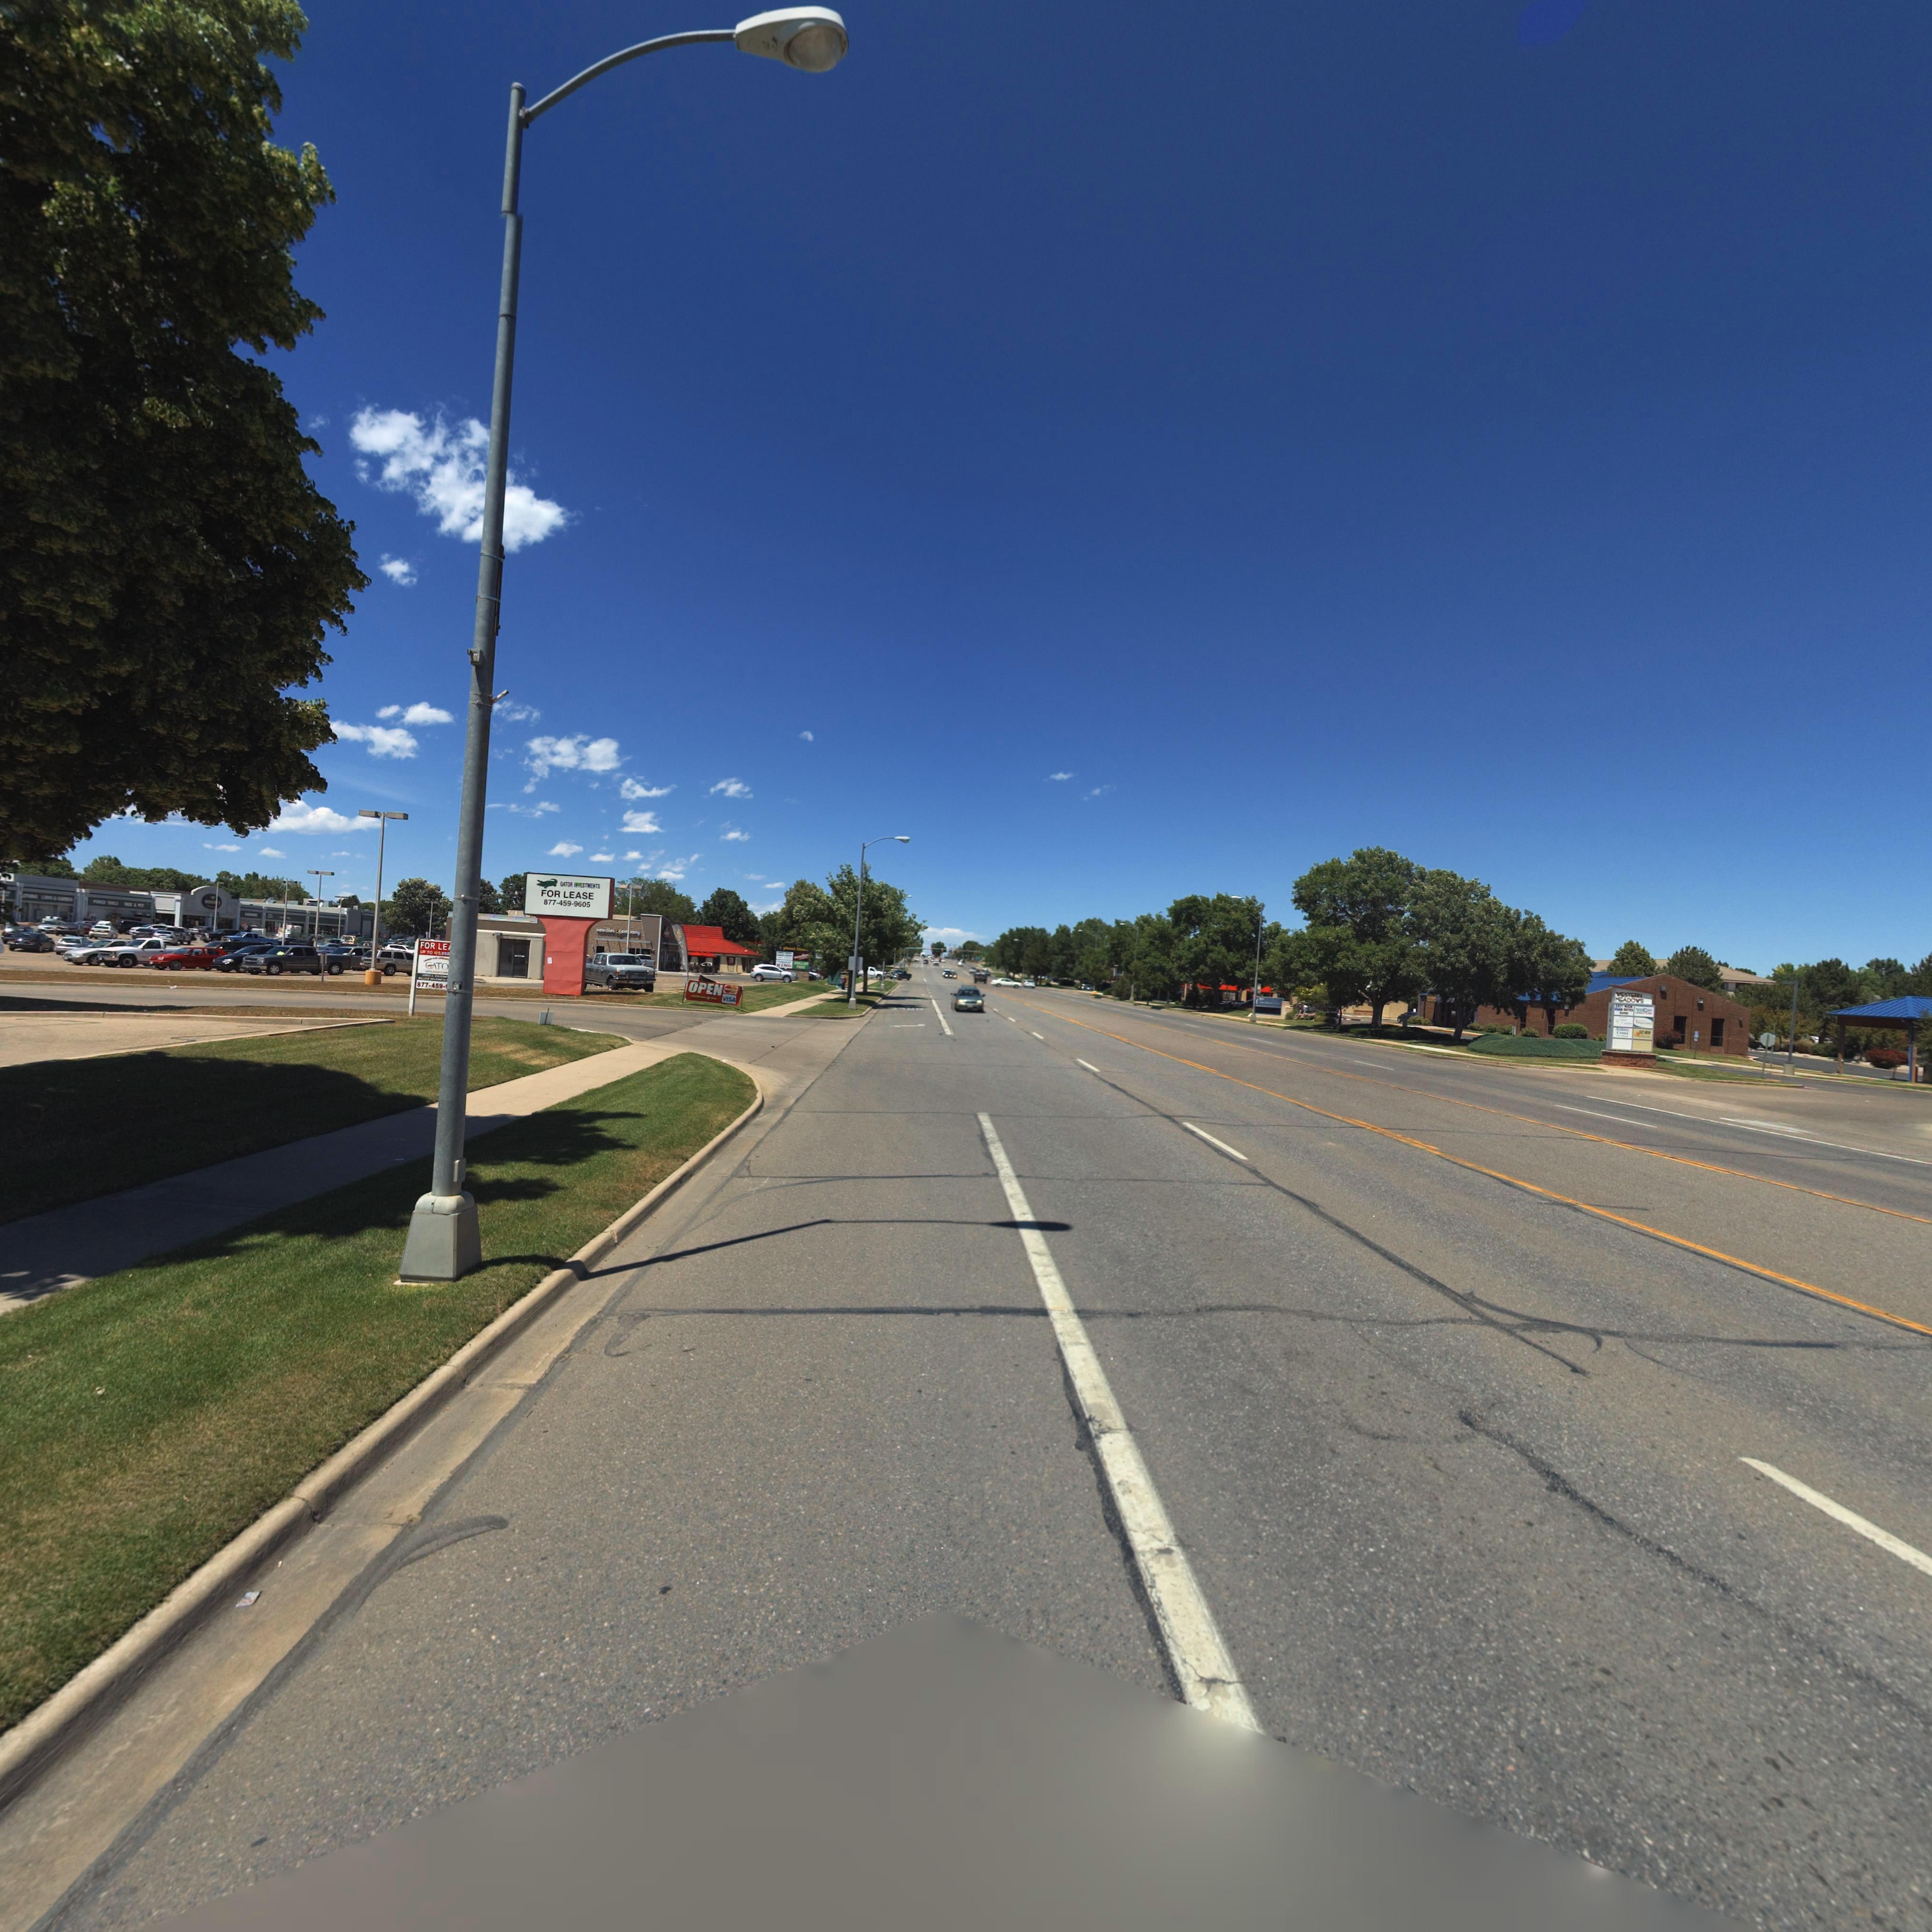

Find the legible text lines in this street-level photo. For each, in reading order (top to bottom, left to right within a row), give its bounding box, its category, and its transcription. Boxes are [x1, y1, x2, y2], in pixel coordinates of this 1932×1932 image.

[596, 927, 640, 936] BusinessName: noodles&co**any
[783, 946, 809, 951] BusinessName: planet *****
[793, 953, 809, 958] BusinessName: nood**s
[776, 963, 792, 967] BusinessName: KING
[796, 965, 805, 969] BusinessName: T***
[794, 961, 808, 966] BusinessName: DOLL**
[1608, 1006, 1612, 1028] StreetNumber: 2144
[1616, 1031, 1629, 1035] BusinessName: C******